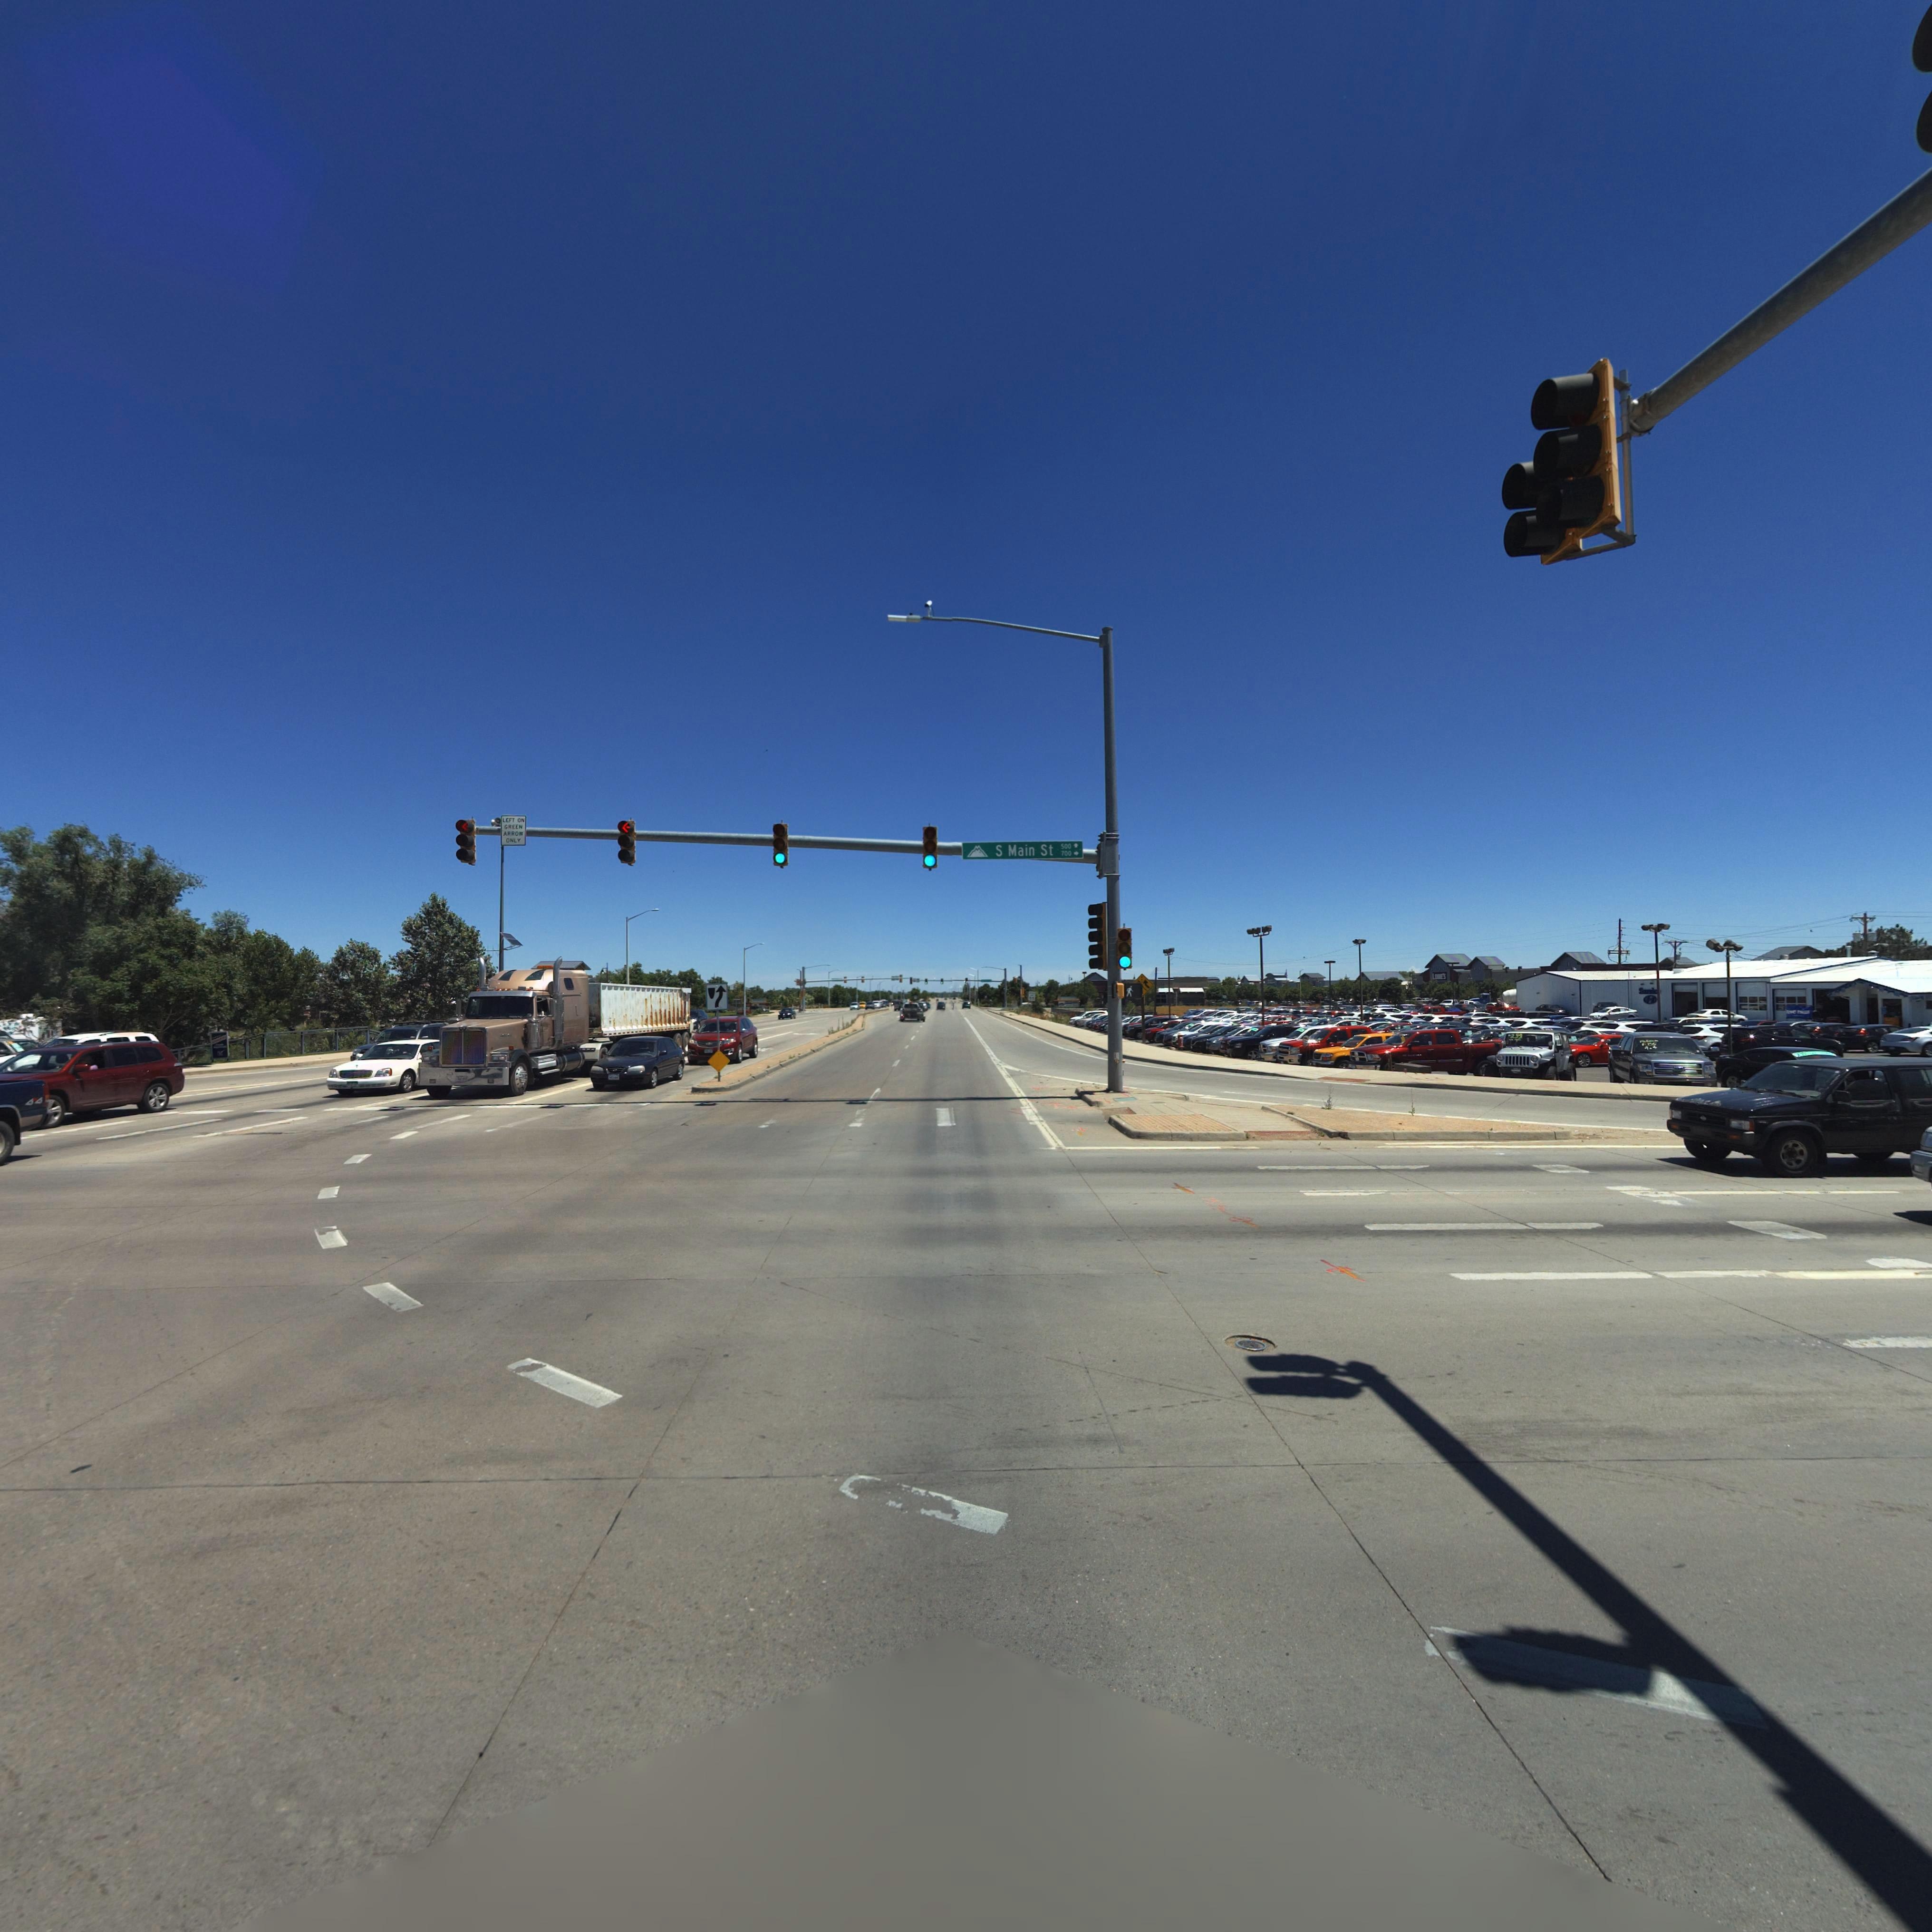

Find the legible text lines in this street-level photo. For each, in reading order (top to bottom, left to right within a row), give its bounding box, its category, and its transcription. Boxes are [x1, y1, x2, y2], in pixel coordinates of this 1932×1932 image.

[1061, 843, 1072, 849] StreetNumberRange: 500
[995, 844, 1053, 857] StreetName: S Main St
[1061, 850, 1079, 856] StreetNumberRange: 700->
[1432, 972, 1446, 980] BusinessName: LOWE'S